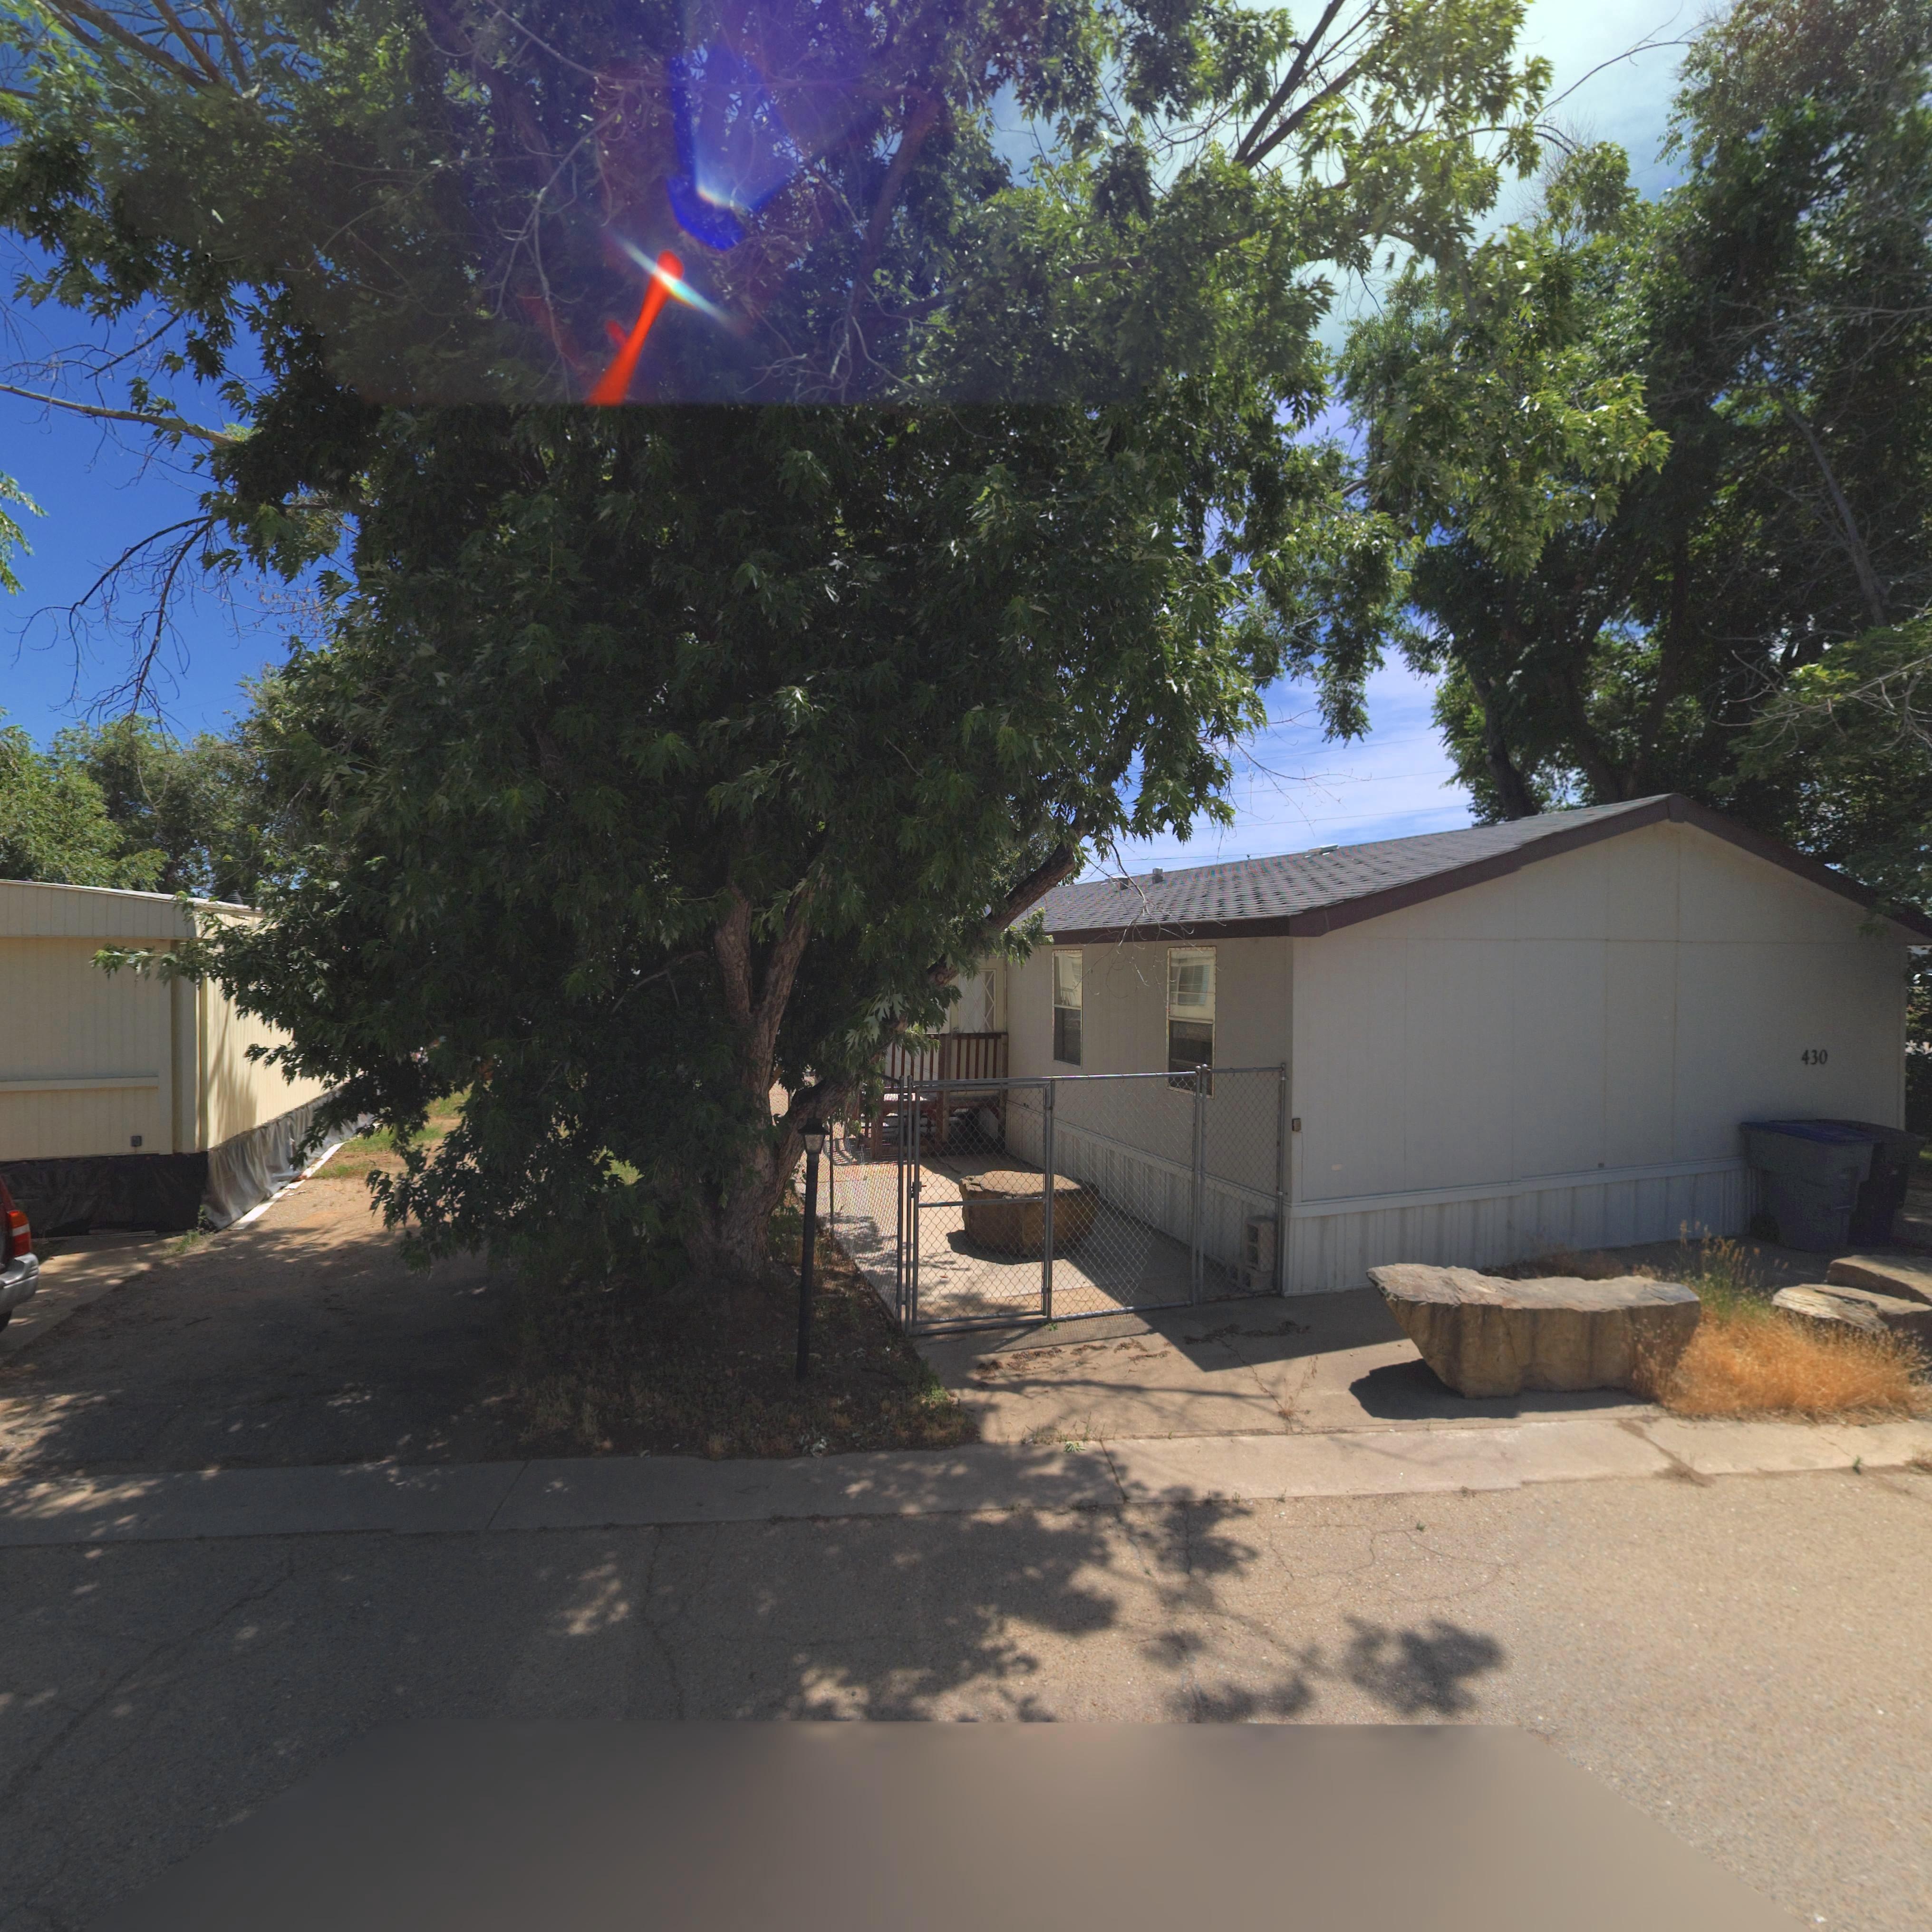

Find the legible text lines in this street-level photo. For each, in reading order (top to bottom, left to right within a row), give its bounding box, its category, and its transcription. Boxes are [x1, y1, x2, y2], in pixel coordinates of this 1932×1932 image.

[1800, 1049, 1828, 1065] StreetNumber: 430